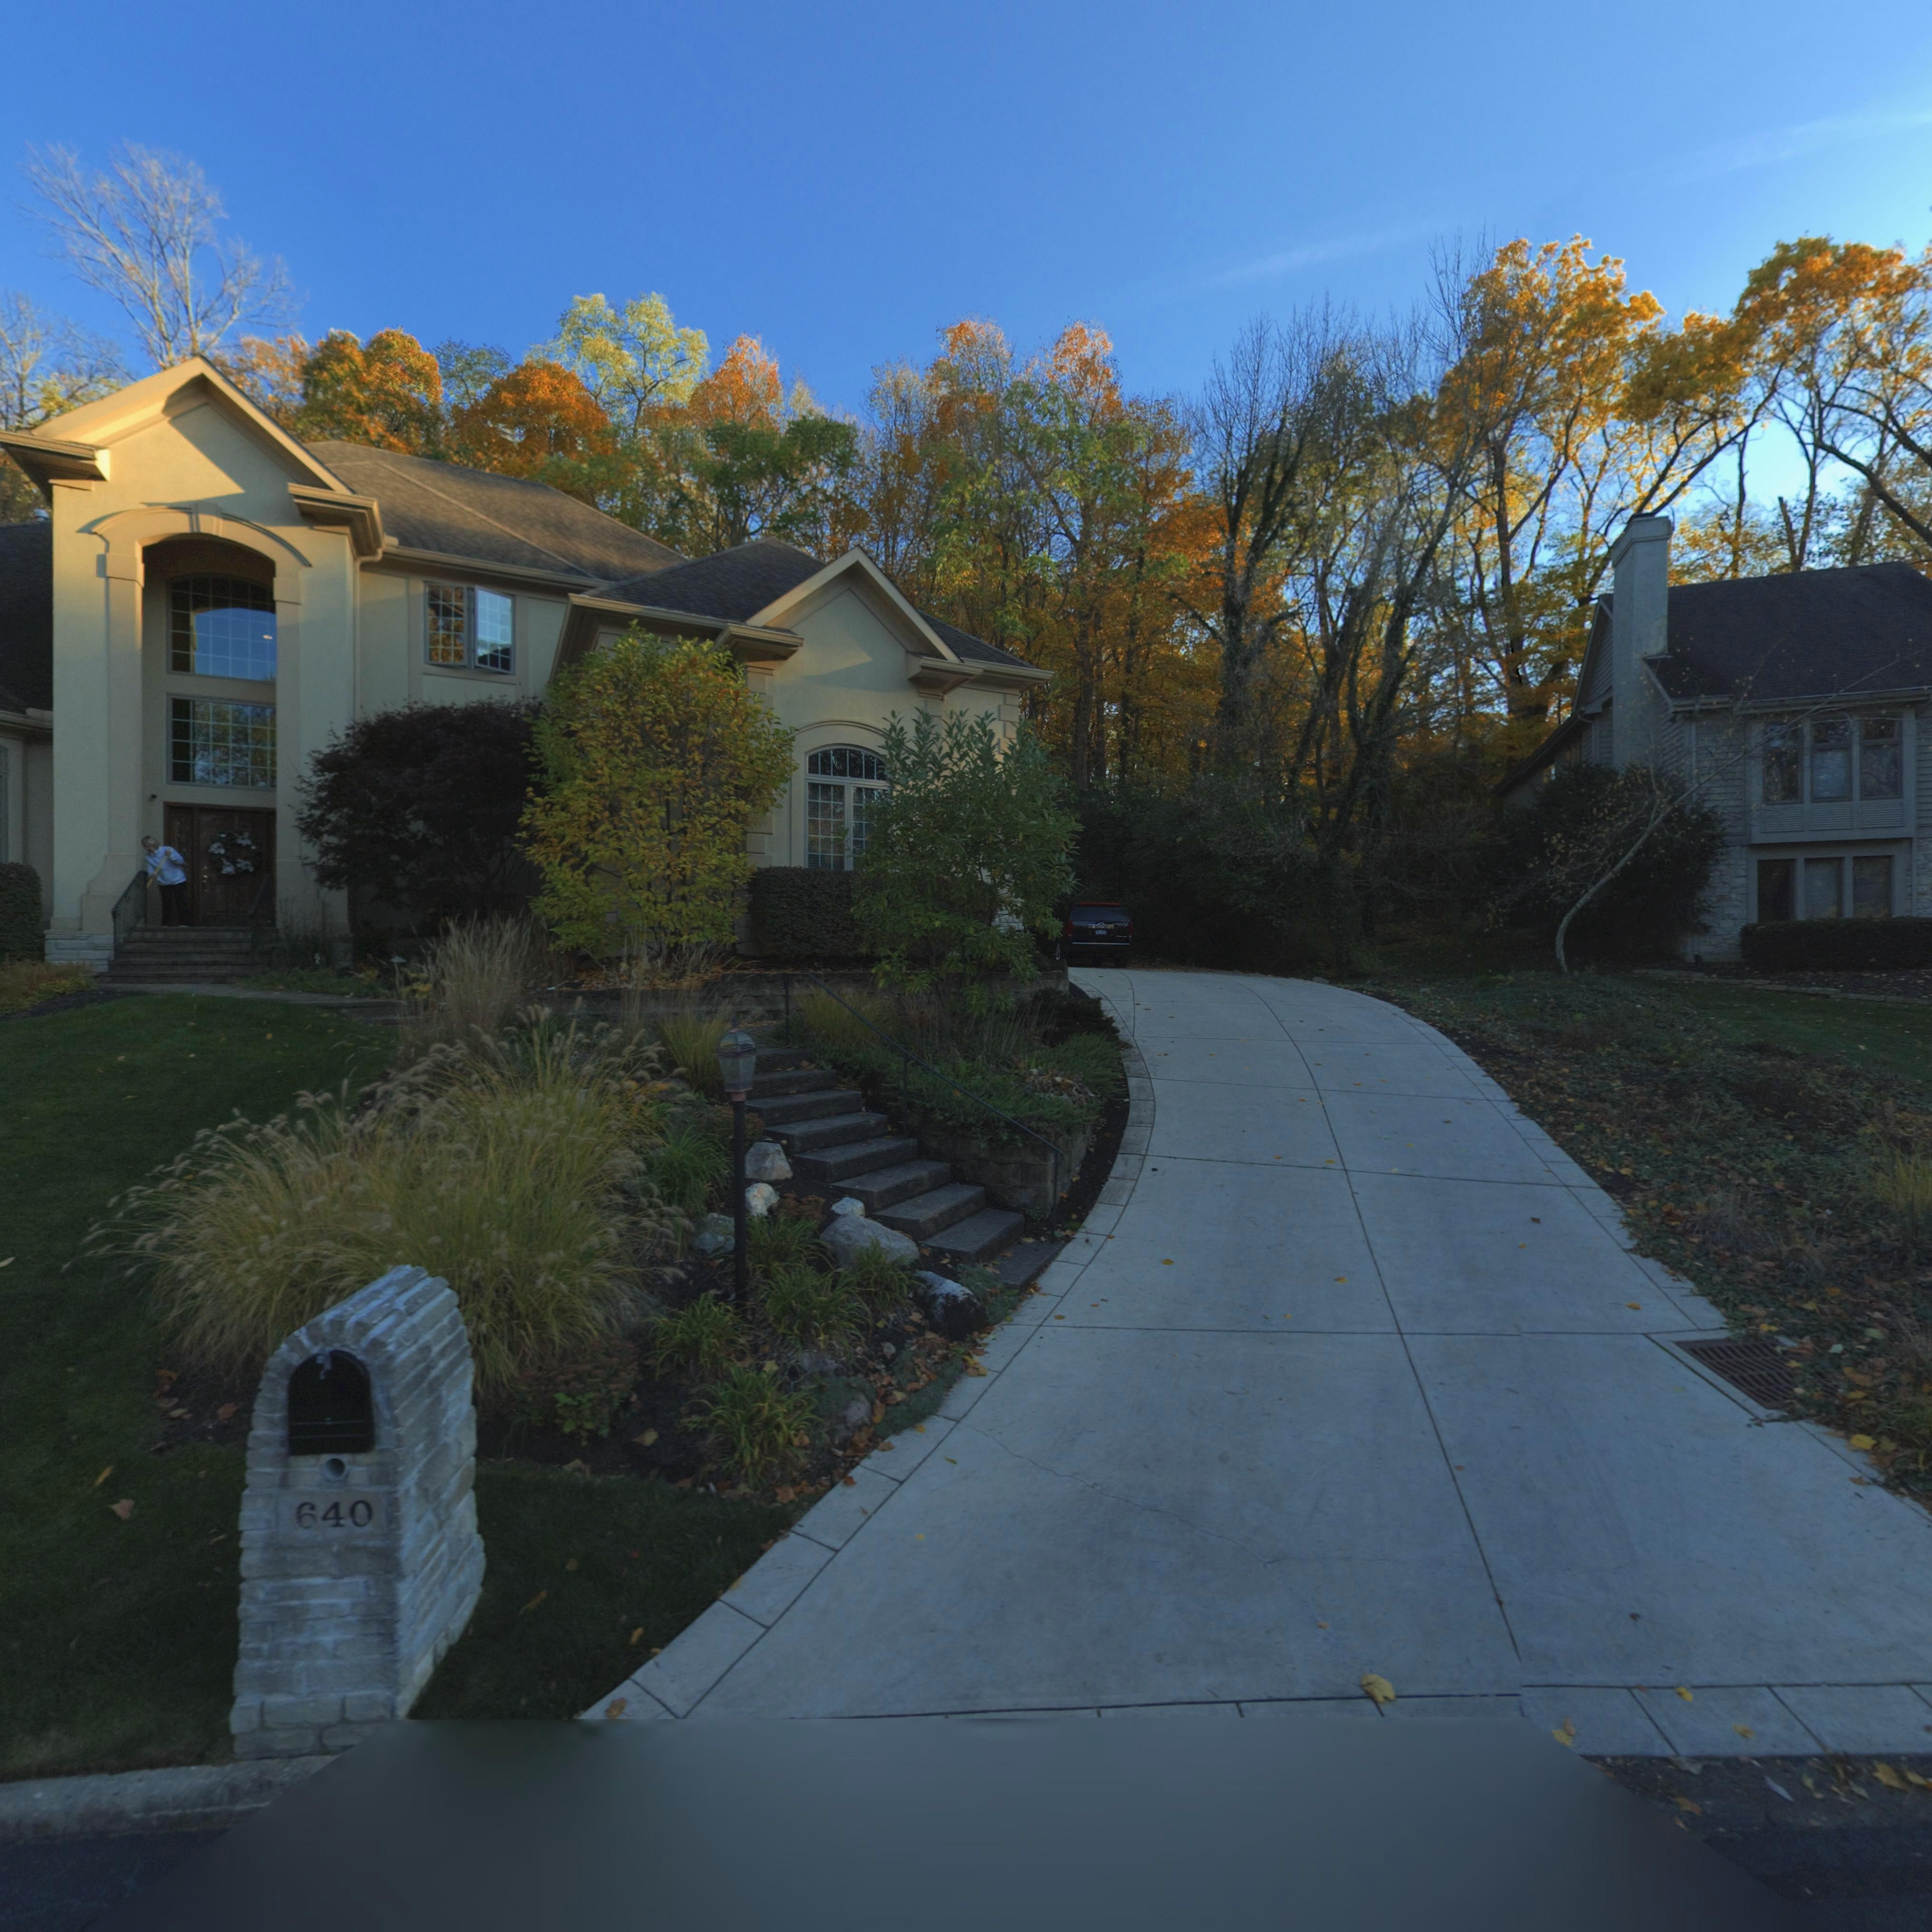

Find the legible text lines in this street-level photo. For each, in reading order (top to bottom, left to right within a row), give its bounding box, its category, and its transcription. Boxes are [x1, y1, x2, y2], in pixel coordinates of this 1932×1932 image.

[293, 1498, 374, 1529] StreetNumber: 640